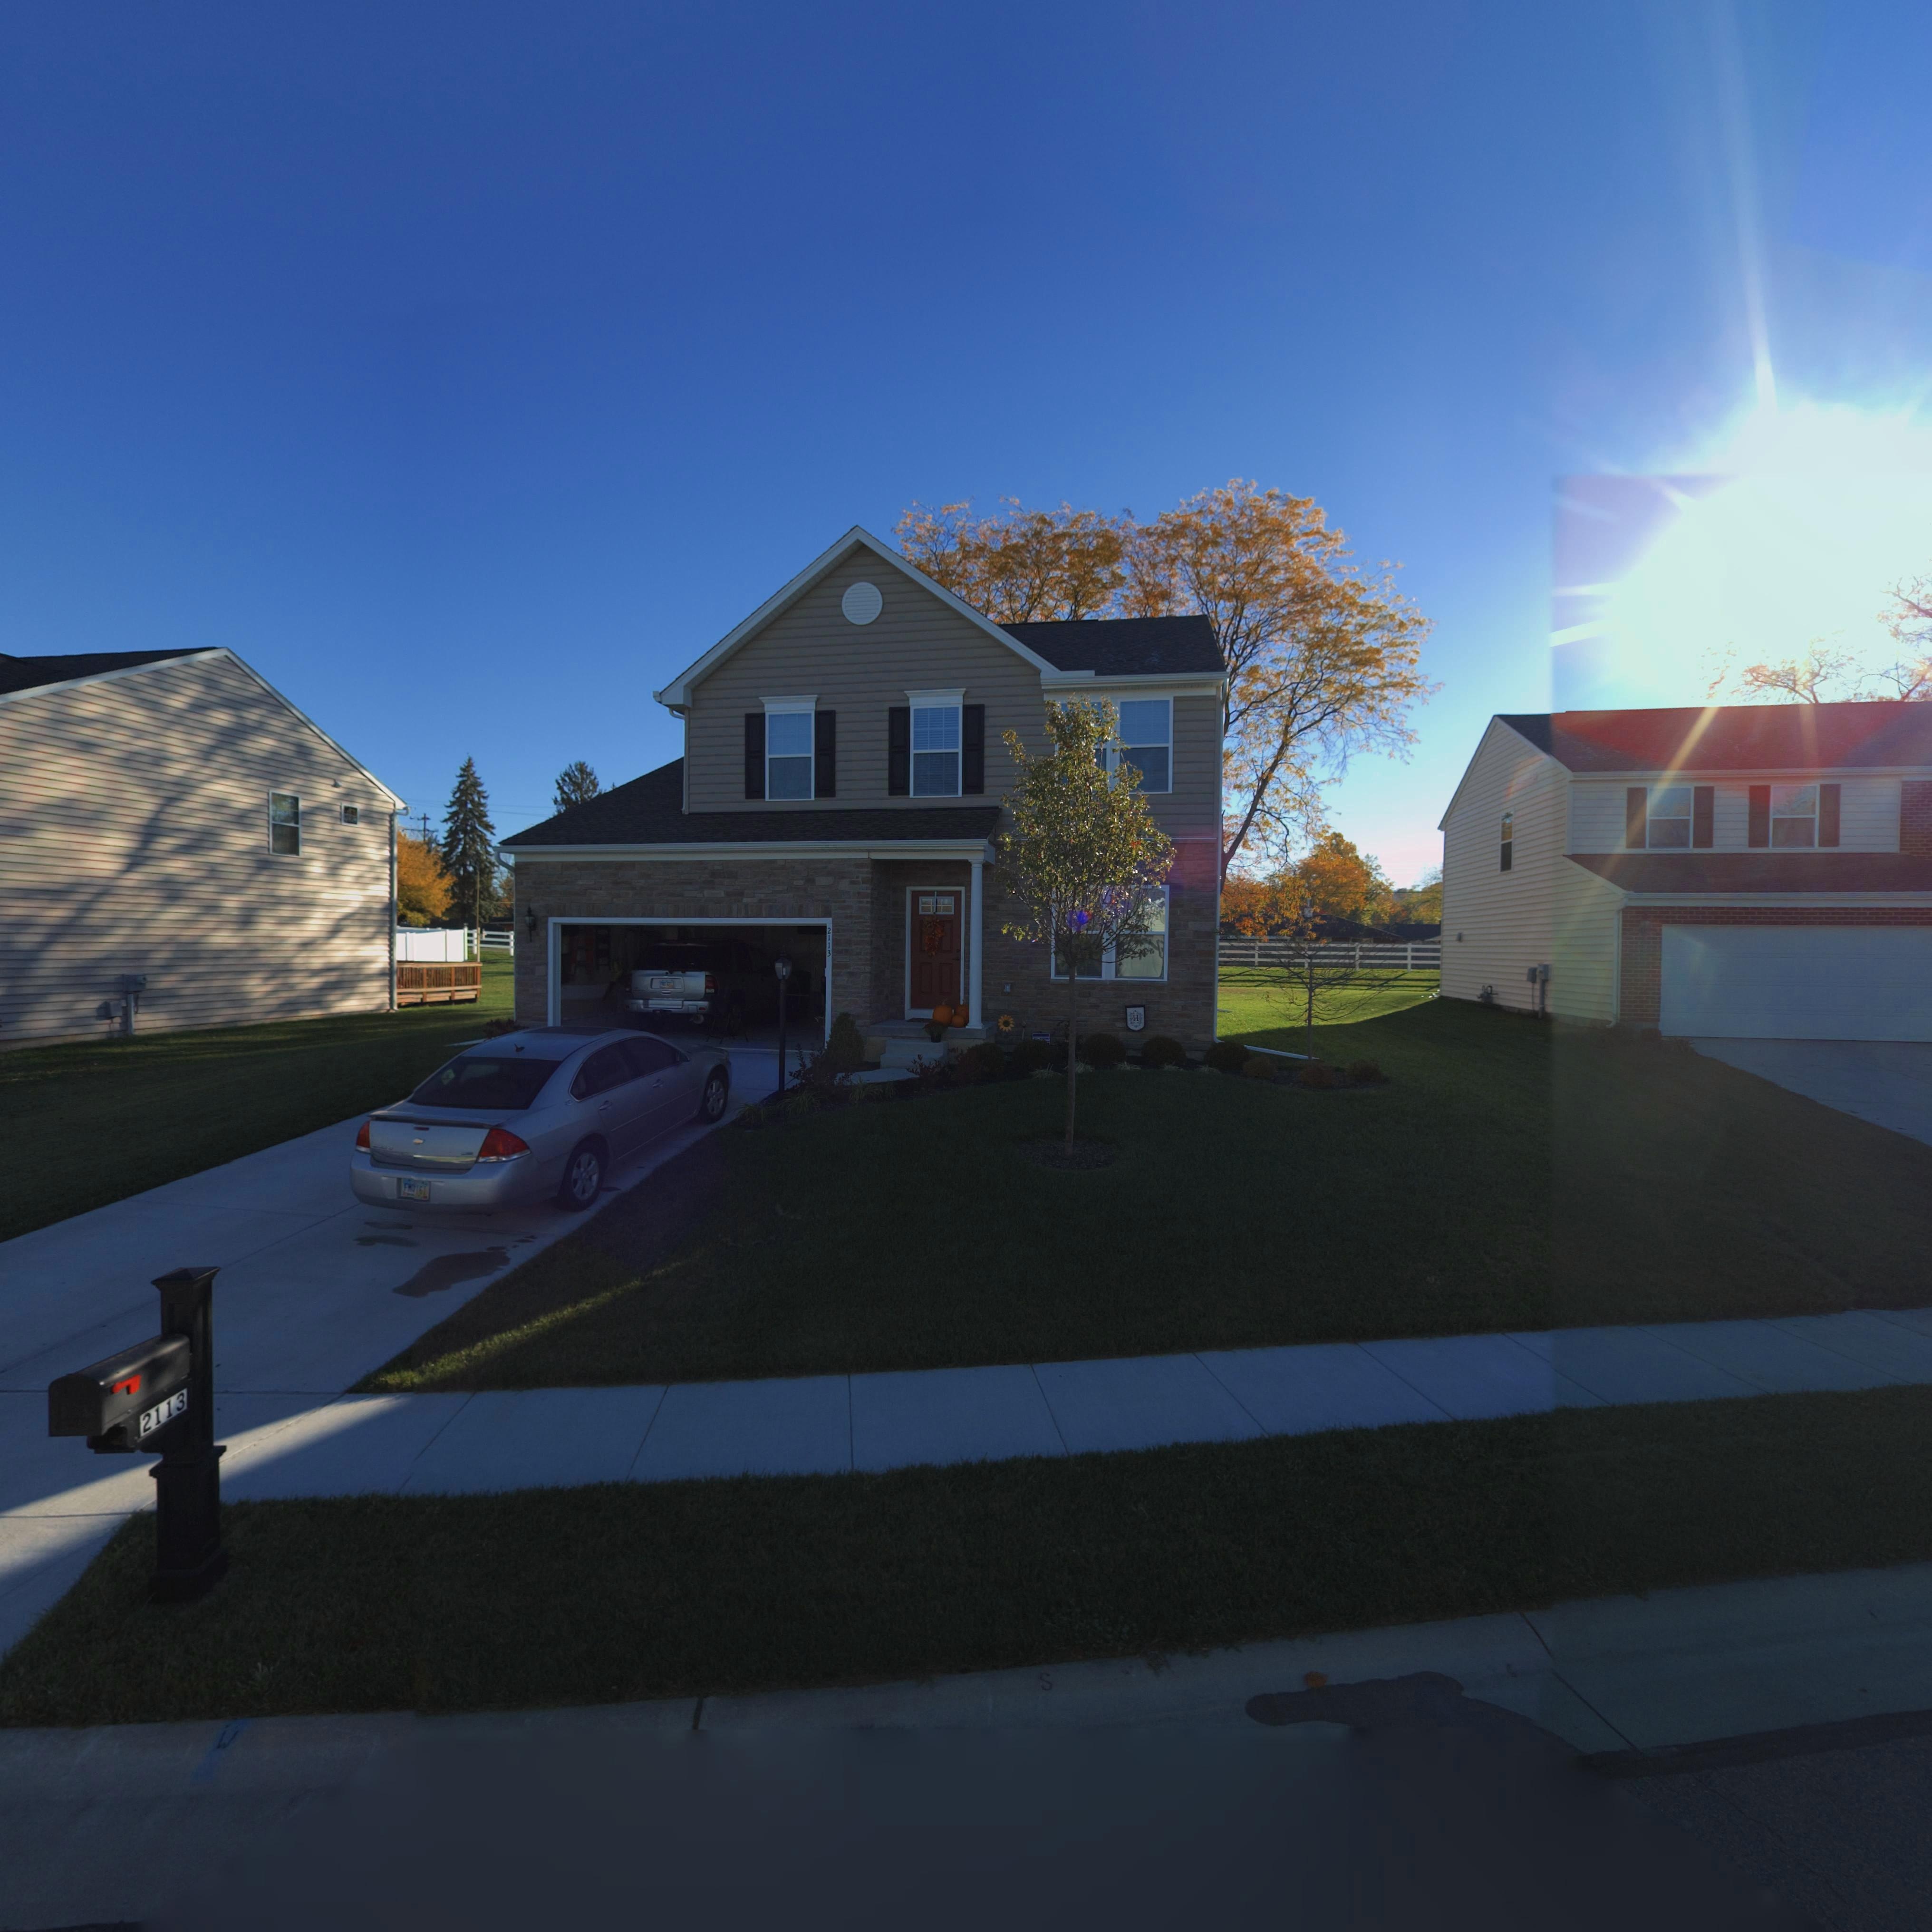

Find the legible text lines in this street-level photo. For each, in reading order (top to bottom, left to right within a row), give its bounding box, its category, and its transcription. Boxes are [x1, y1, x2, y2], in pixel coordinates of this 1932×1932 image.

[827, 927, 831, 957] StreetNumber: 2113
[141, 1390, 186, 1435] StreetNumber: 2113